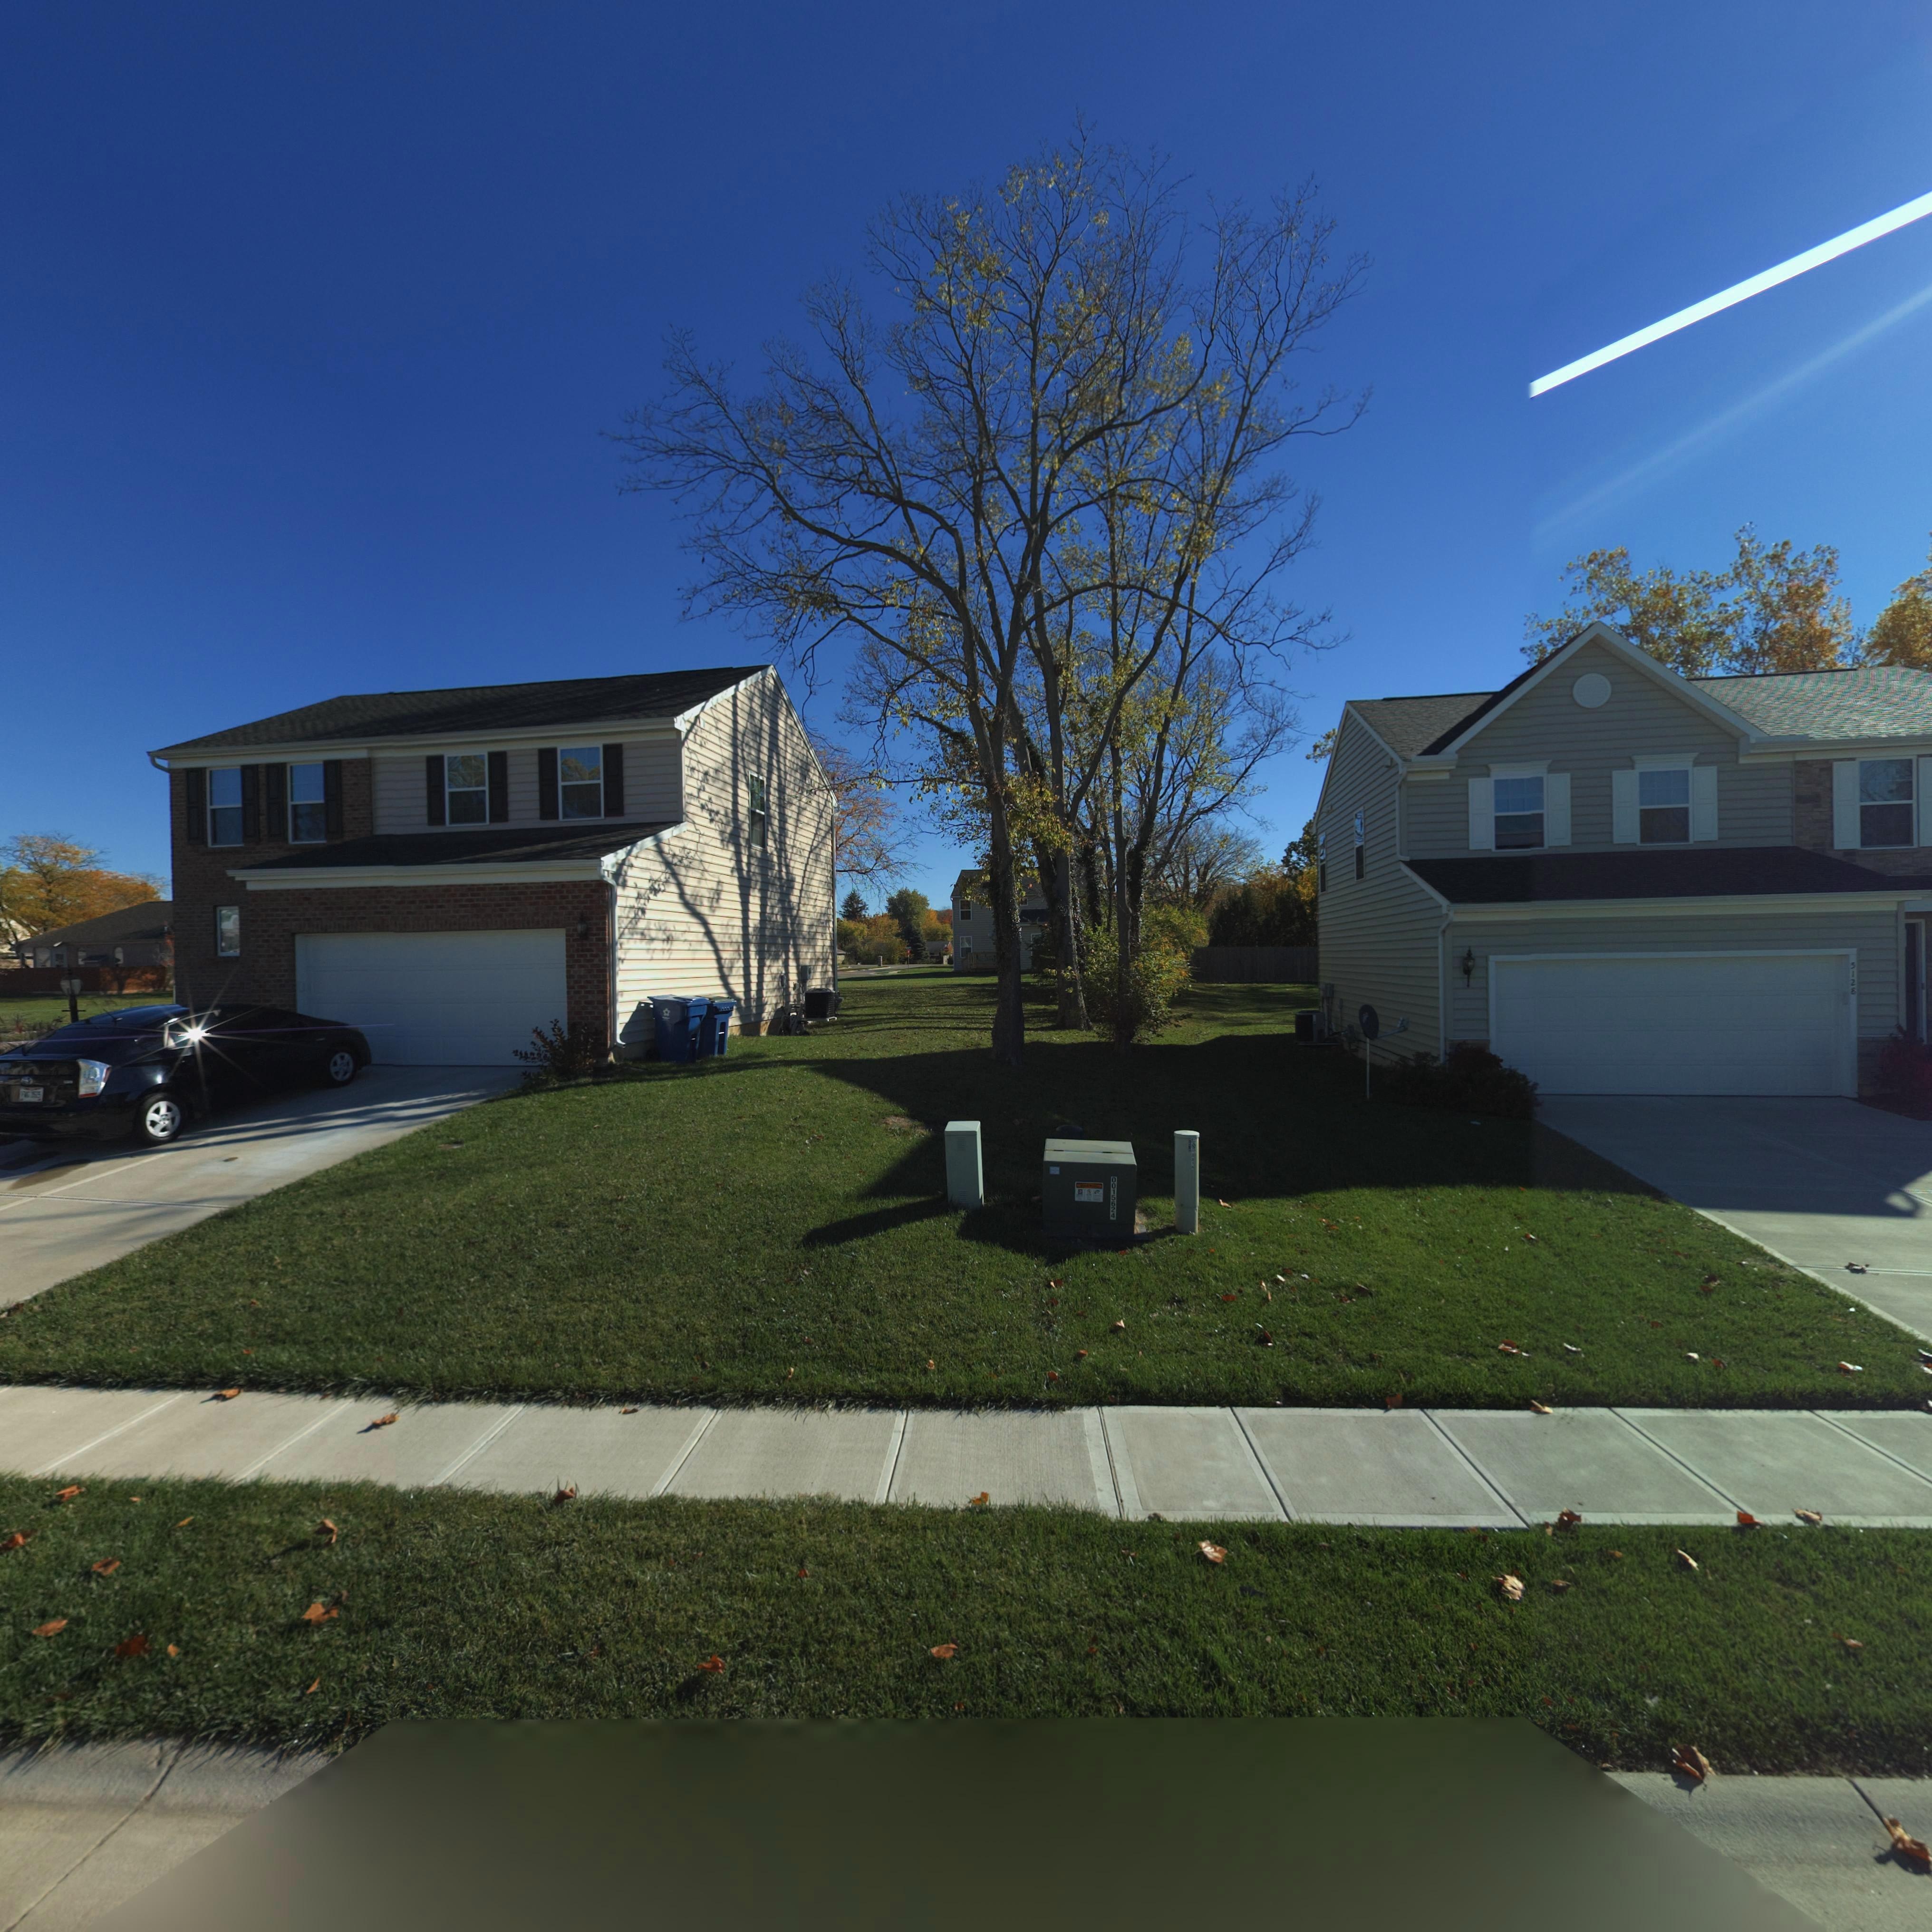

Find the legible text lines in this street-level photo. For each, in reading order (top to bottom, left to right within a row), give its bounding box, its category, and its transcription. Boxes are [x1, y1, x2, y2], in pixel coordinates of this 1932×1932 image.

[1849, 961, 1856, 995] StreetNumber: 5128